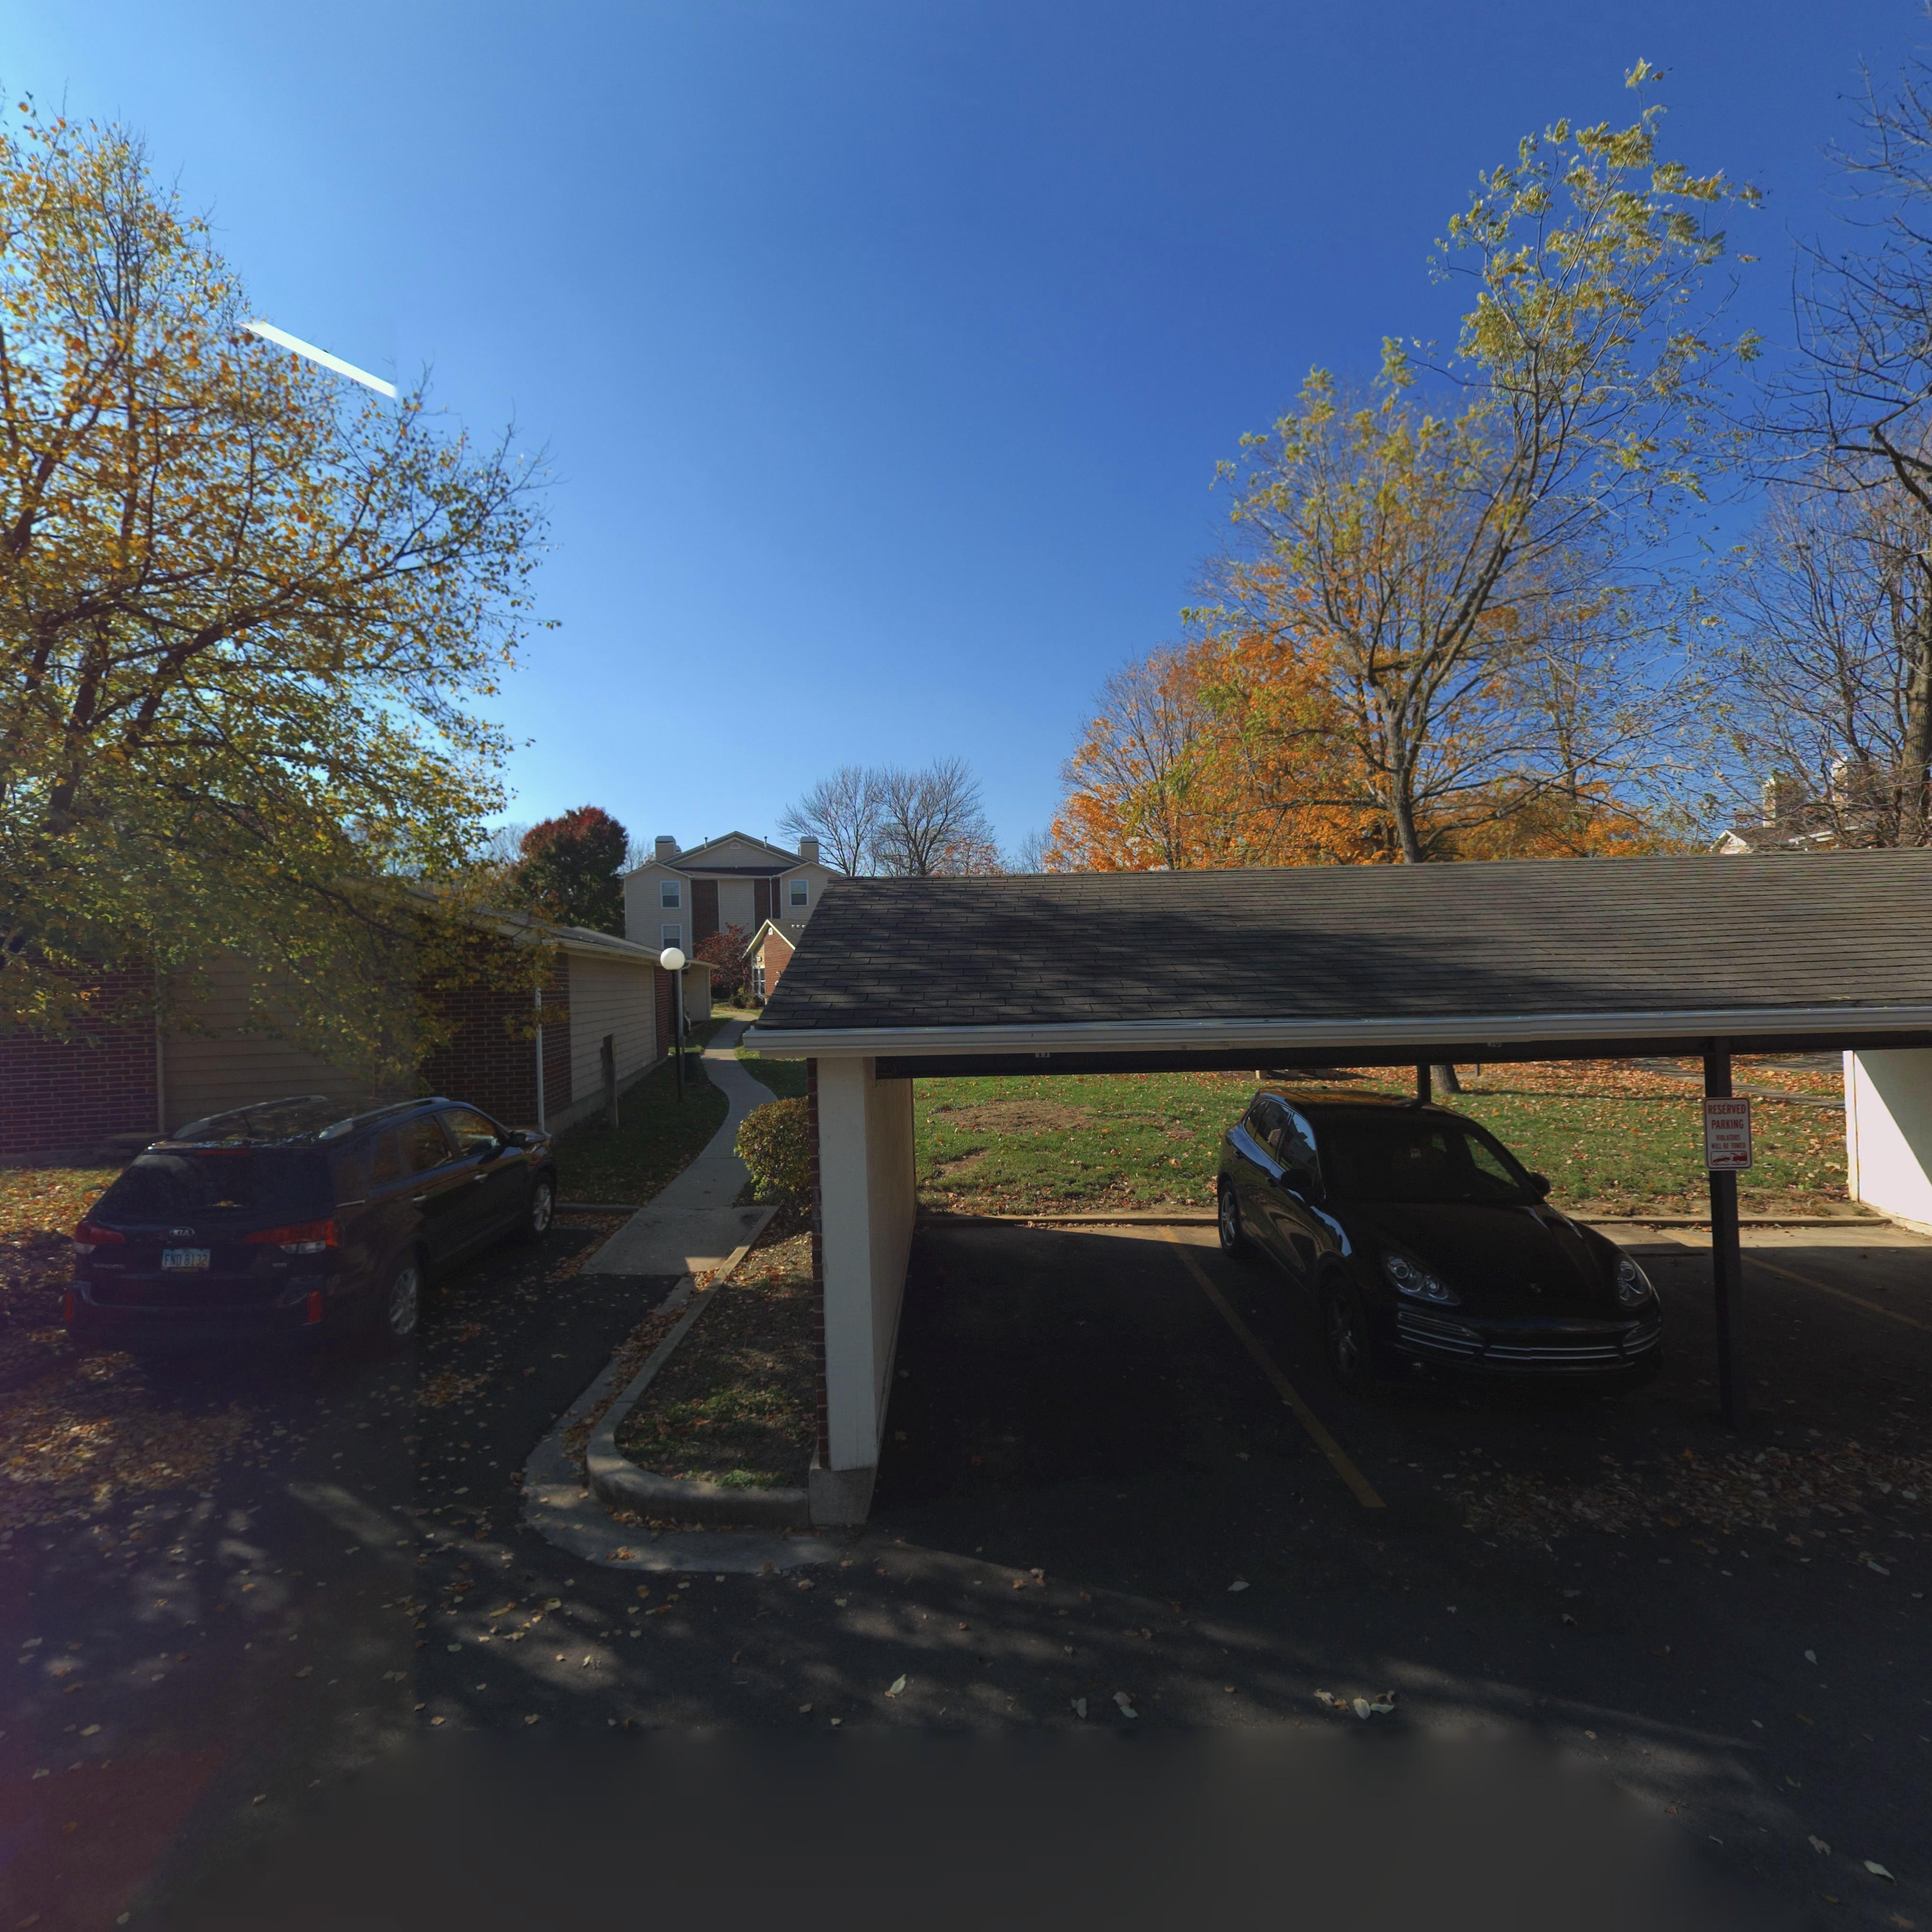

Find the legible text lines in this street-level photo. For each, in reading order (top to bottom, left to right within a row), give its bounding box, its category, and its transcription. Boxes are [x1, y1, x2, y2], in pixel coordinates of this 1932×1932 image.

[1707, 1103, 1747, 1116] None: RESERVED
[1710, 1118, 1745, 1130] None: PARKING
[173, 1228, 190, 1237] None: KIA
[163, 1252, 209, 1267] None: FND 8132